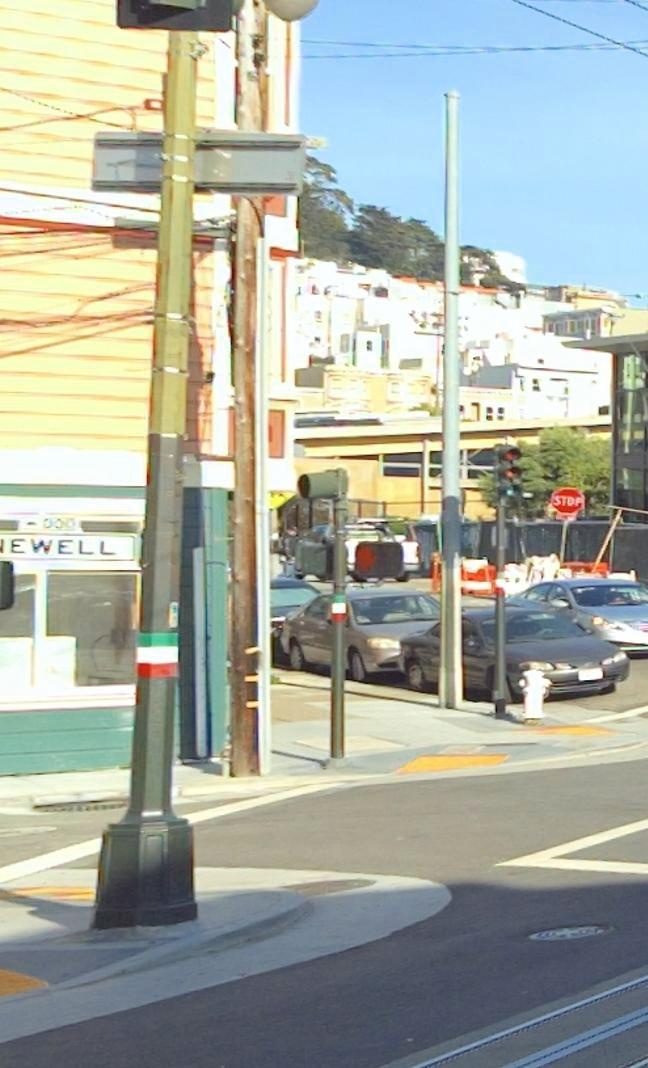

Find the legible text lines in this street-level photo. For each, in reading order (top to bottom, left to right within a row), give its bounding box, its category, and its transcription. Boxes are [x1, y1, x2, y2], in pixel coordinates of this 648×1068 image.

[552, 494, 584, 508] None: STOP
[23, 515, 78, 532] StreetNumberRange: <-000
[8, 537, 117, 558] StreetName: EWELL